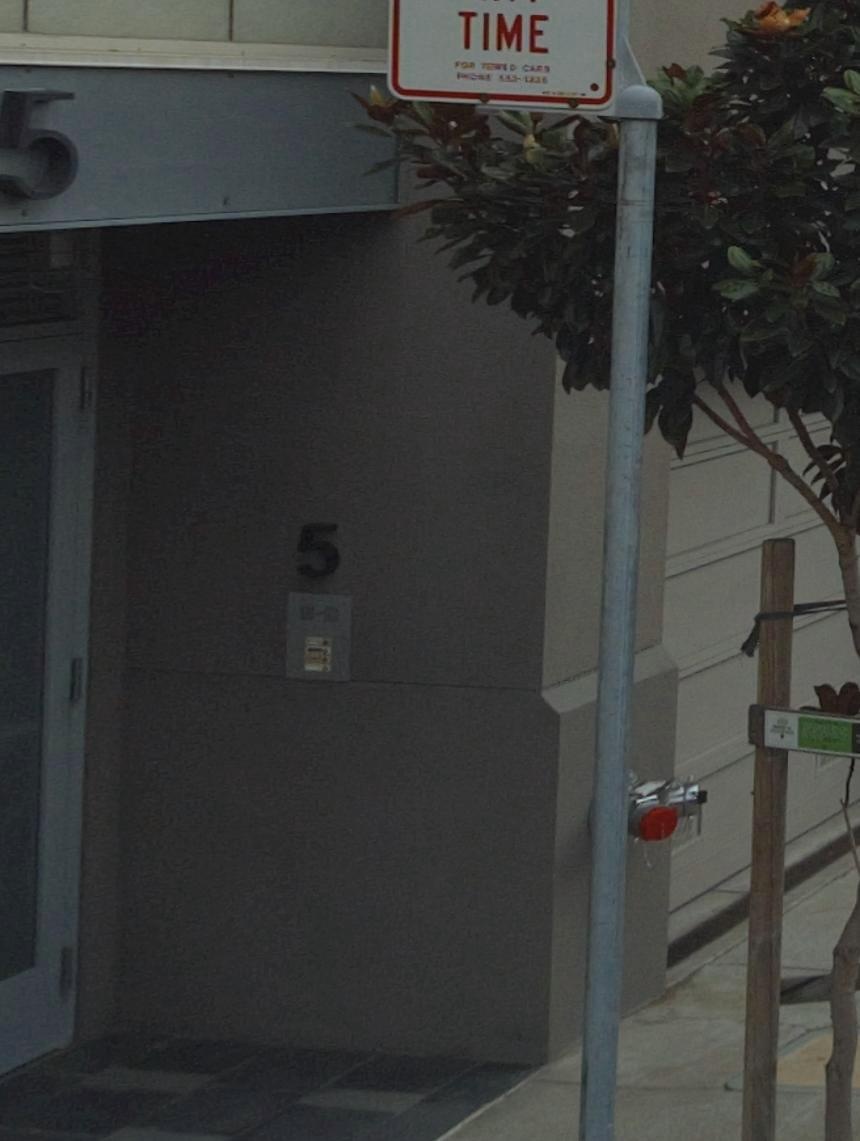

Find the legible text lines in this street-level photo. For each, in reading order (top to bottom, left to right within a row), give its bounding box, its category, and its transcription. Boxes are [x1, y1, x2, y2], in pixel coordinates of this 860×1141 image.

[454, 7, 553, 59] None: TIME
[1, 83, 86, 207] StreetNumber: 5
[293, 519, 343, 583] StreetNumber: 5